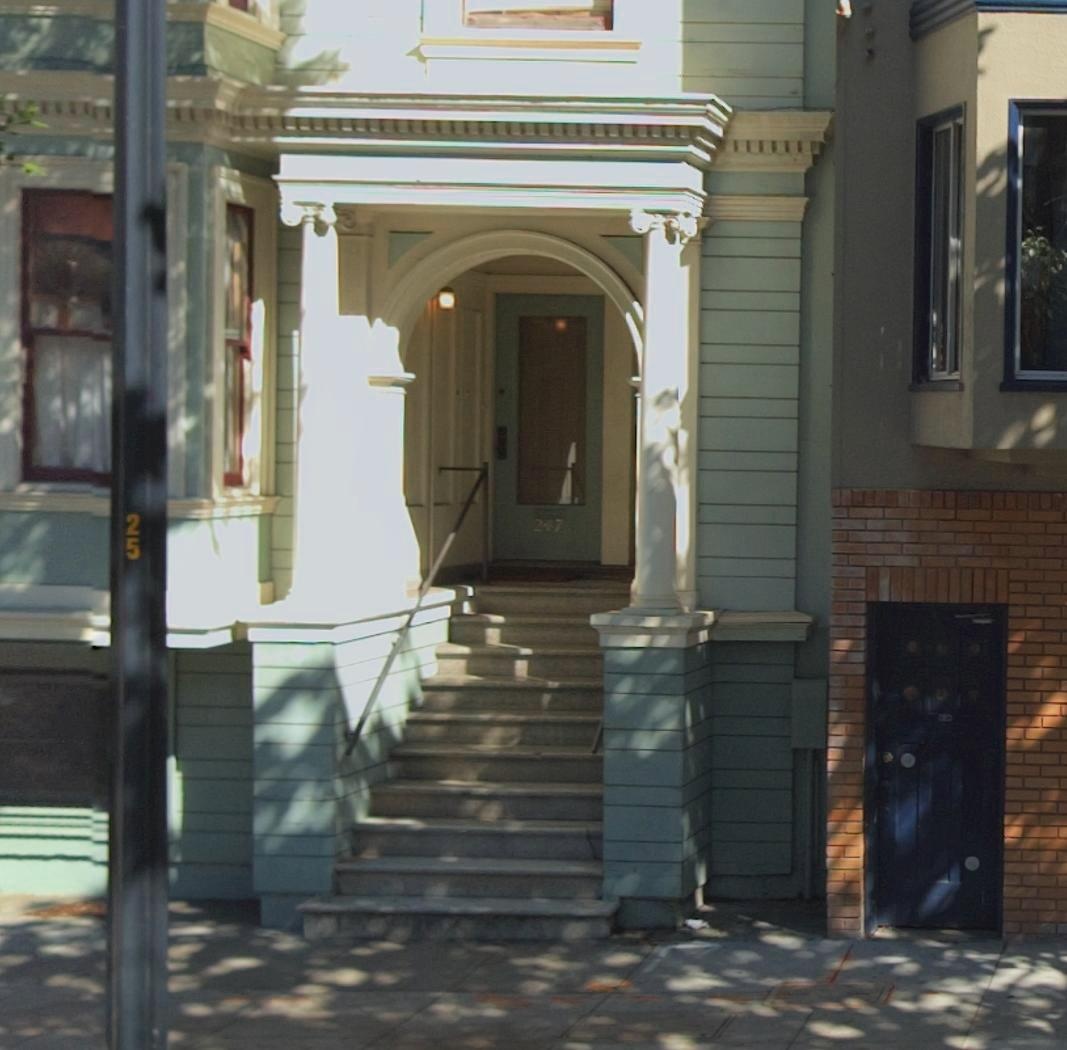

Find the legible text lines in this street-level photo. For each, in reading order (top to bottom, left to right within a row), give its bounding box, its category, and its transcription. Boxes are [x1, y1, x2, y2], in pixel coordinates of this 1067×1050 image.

[124, 512, 142, 562] None: 25
[532, 517, 564, 533] StreetNumber: 247